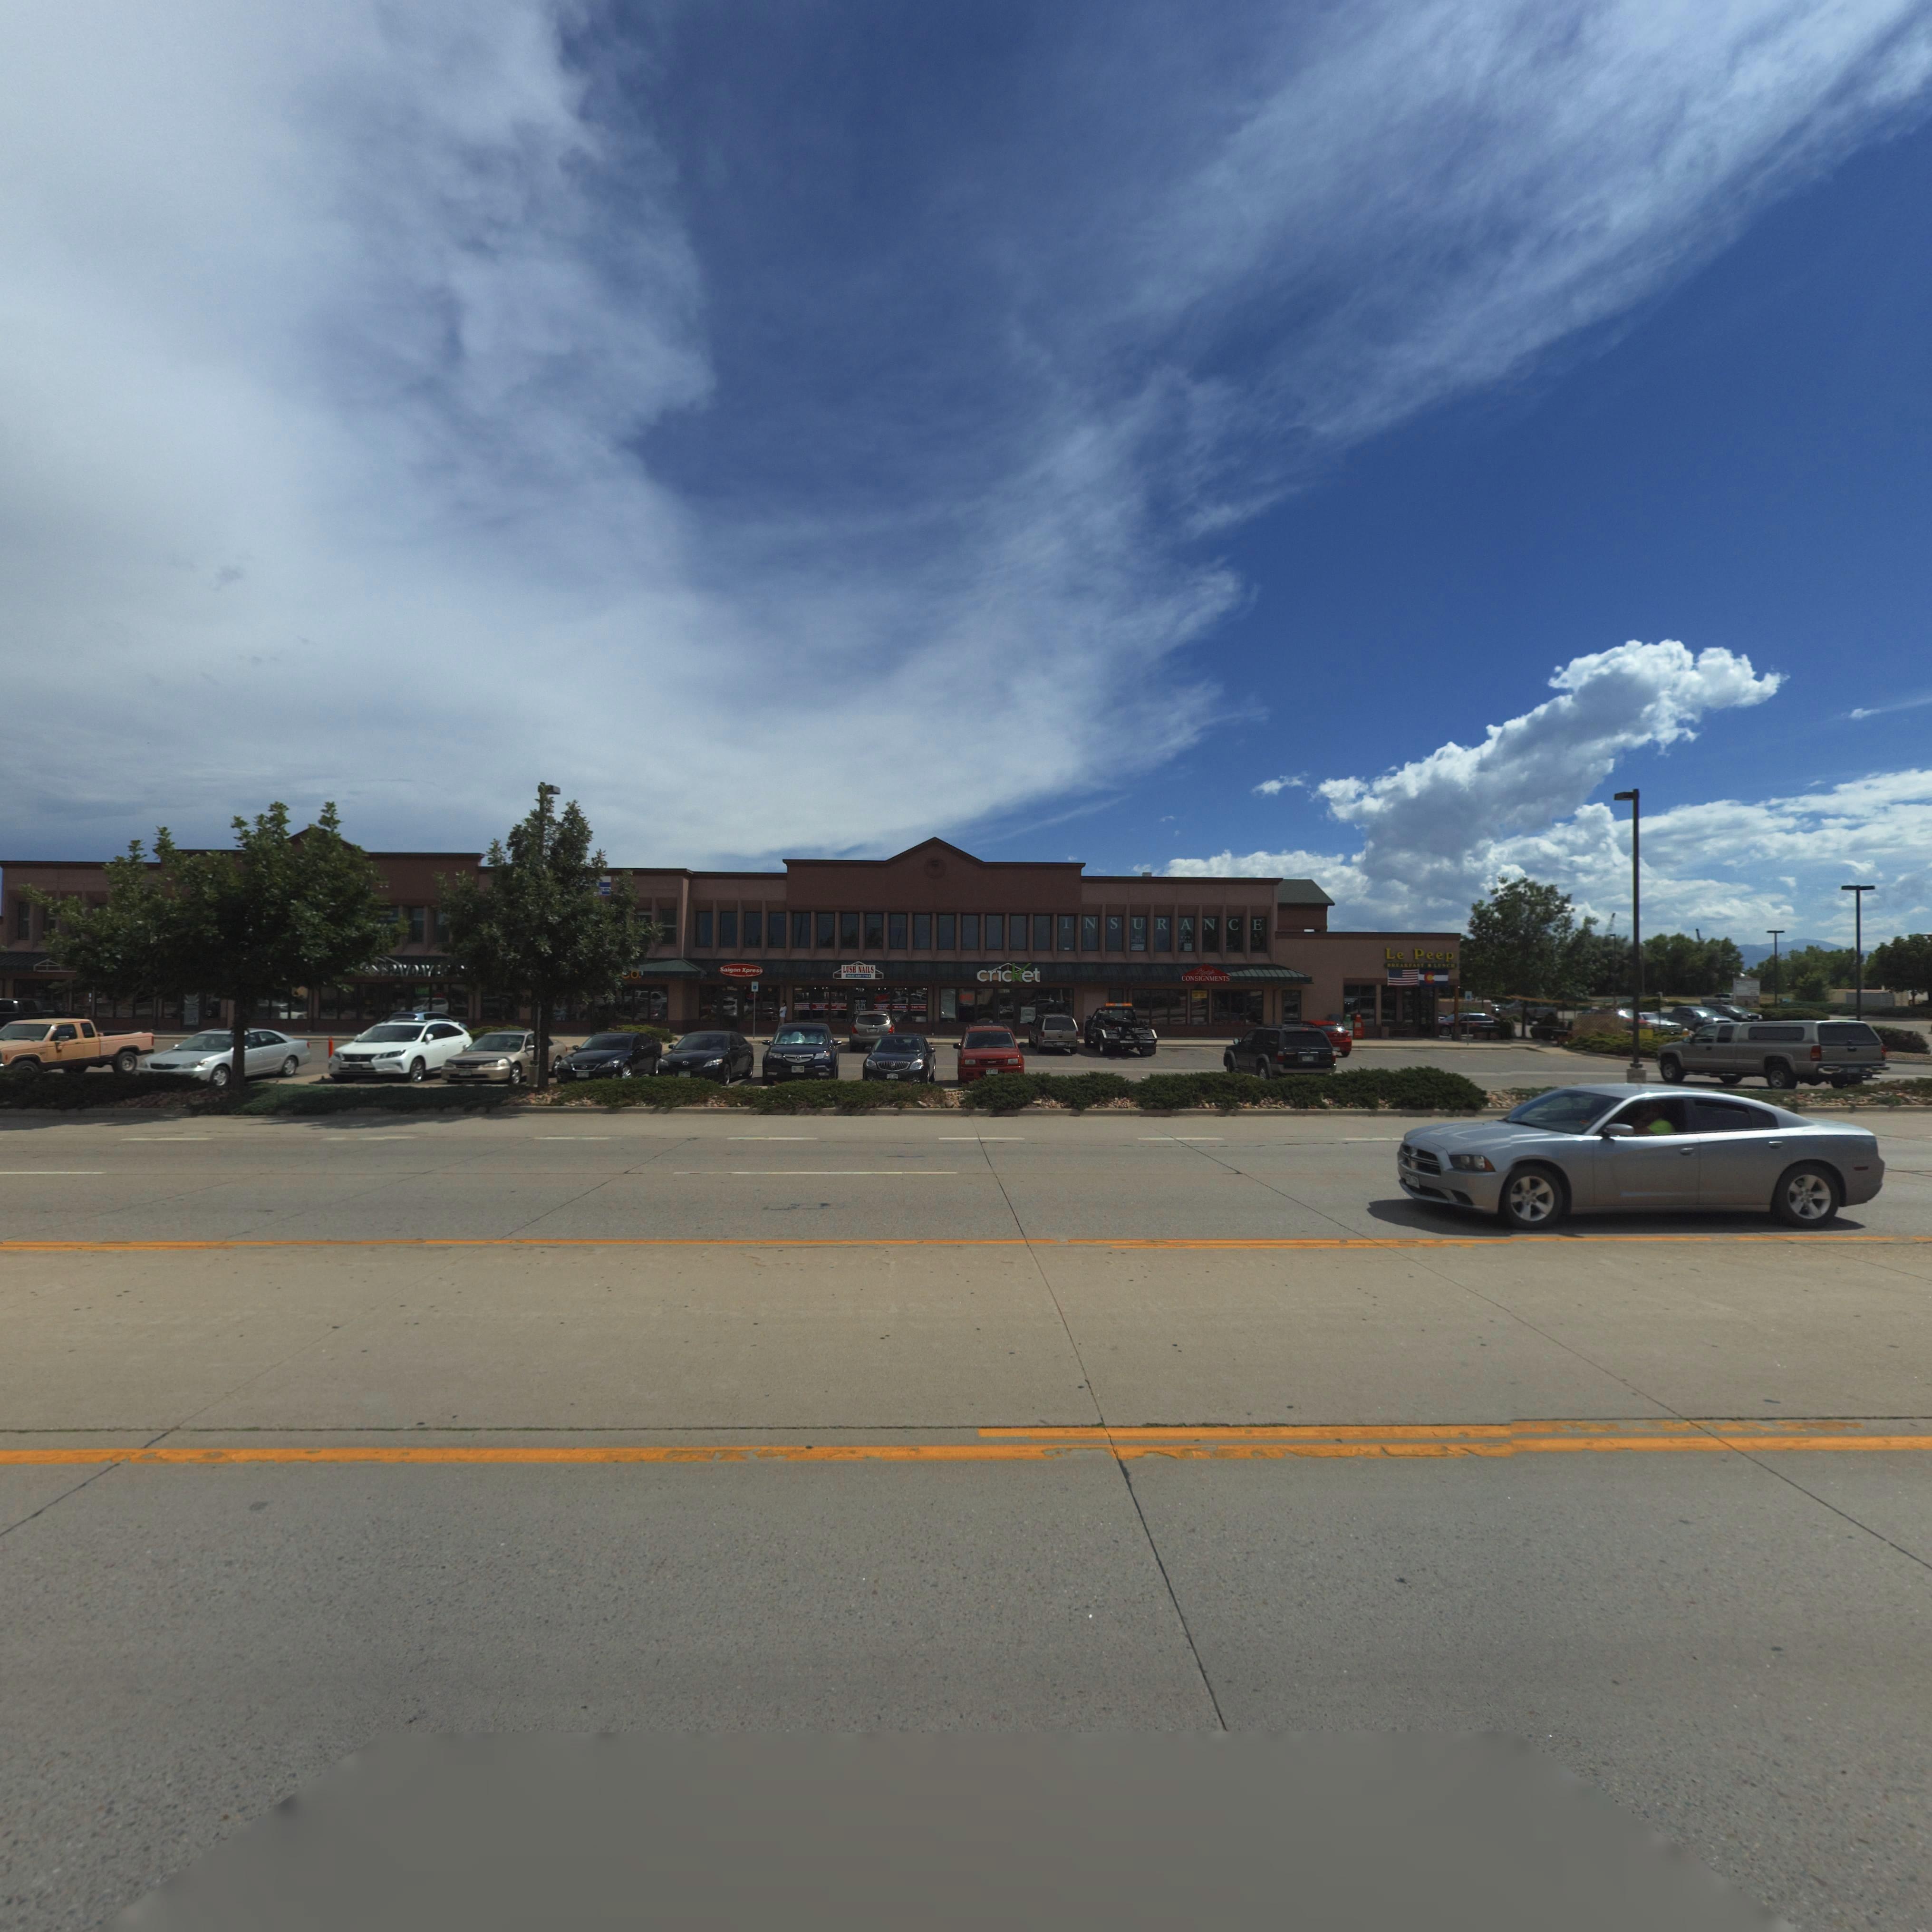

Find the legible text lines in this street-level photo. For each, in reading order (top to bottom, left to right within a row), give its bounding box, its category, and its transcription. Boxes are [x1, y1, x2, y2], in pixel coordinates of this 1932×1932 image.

[1384, 947, 1454, 962] BusinessName: Le Peep
[387, 964, 435, 977] BusinessName: PAYDAY
[630, 970, 641, 979] BusinessName: O.
[719, 966, 763, 974] BusinessName: Saigon Xpress
[843, 966, 874, 973] BusinessName: LUSH NAILS
[976, 962, 1041, 983] BusinessName: cricket
[1195, 968, 1215, 976] BusinessName: L*******
[1181, 975, 1230, 982] BusinessName: CONSIGNMENTS